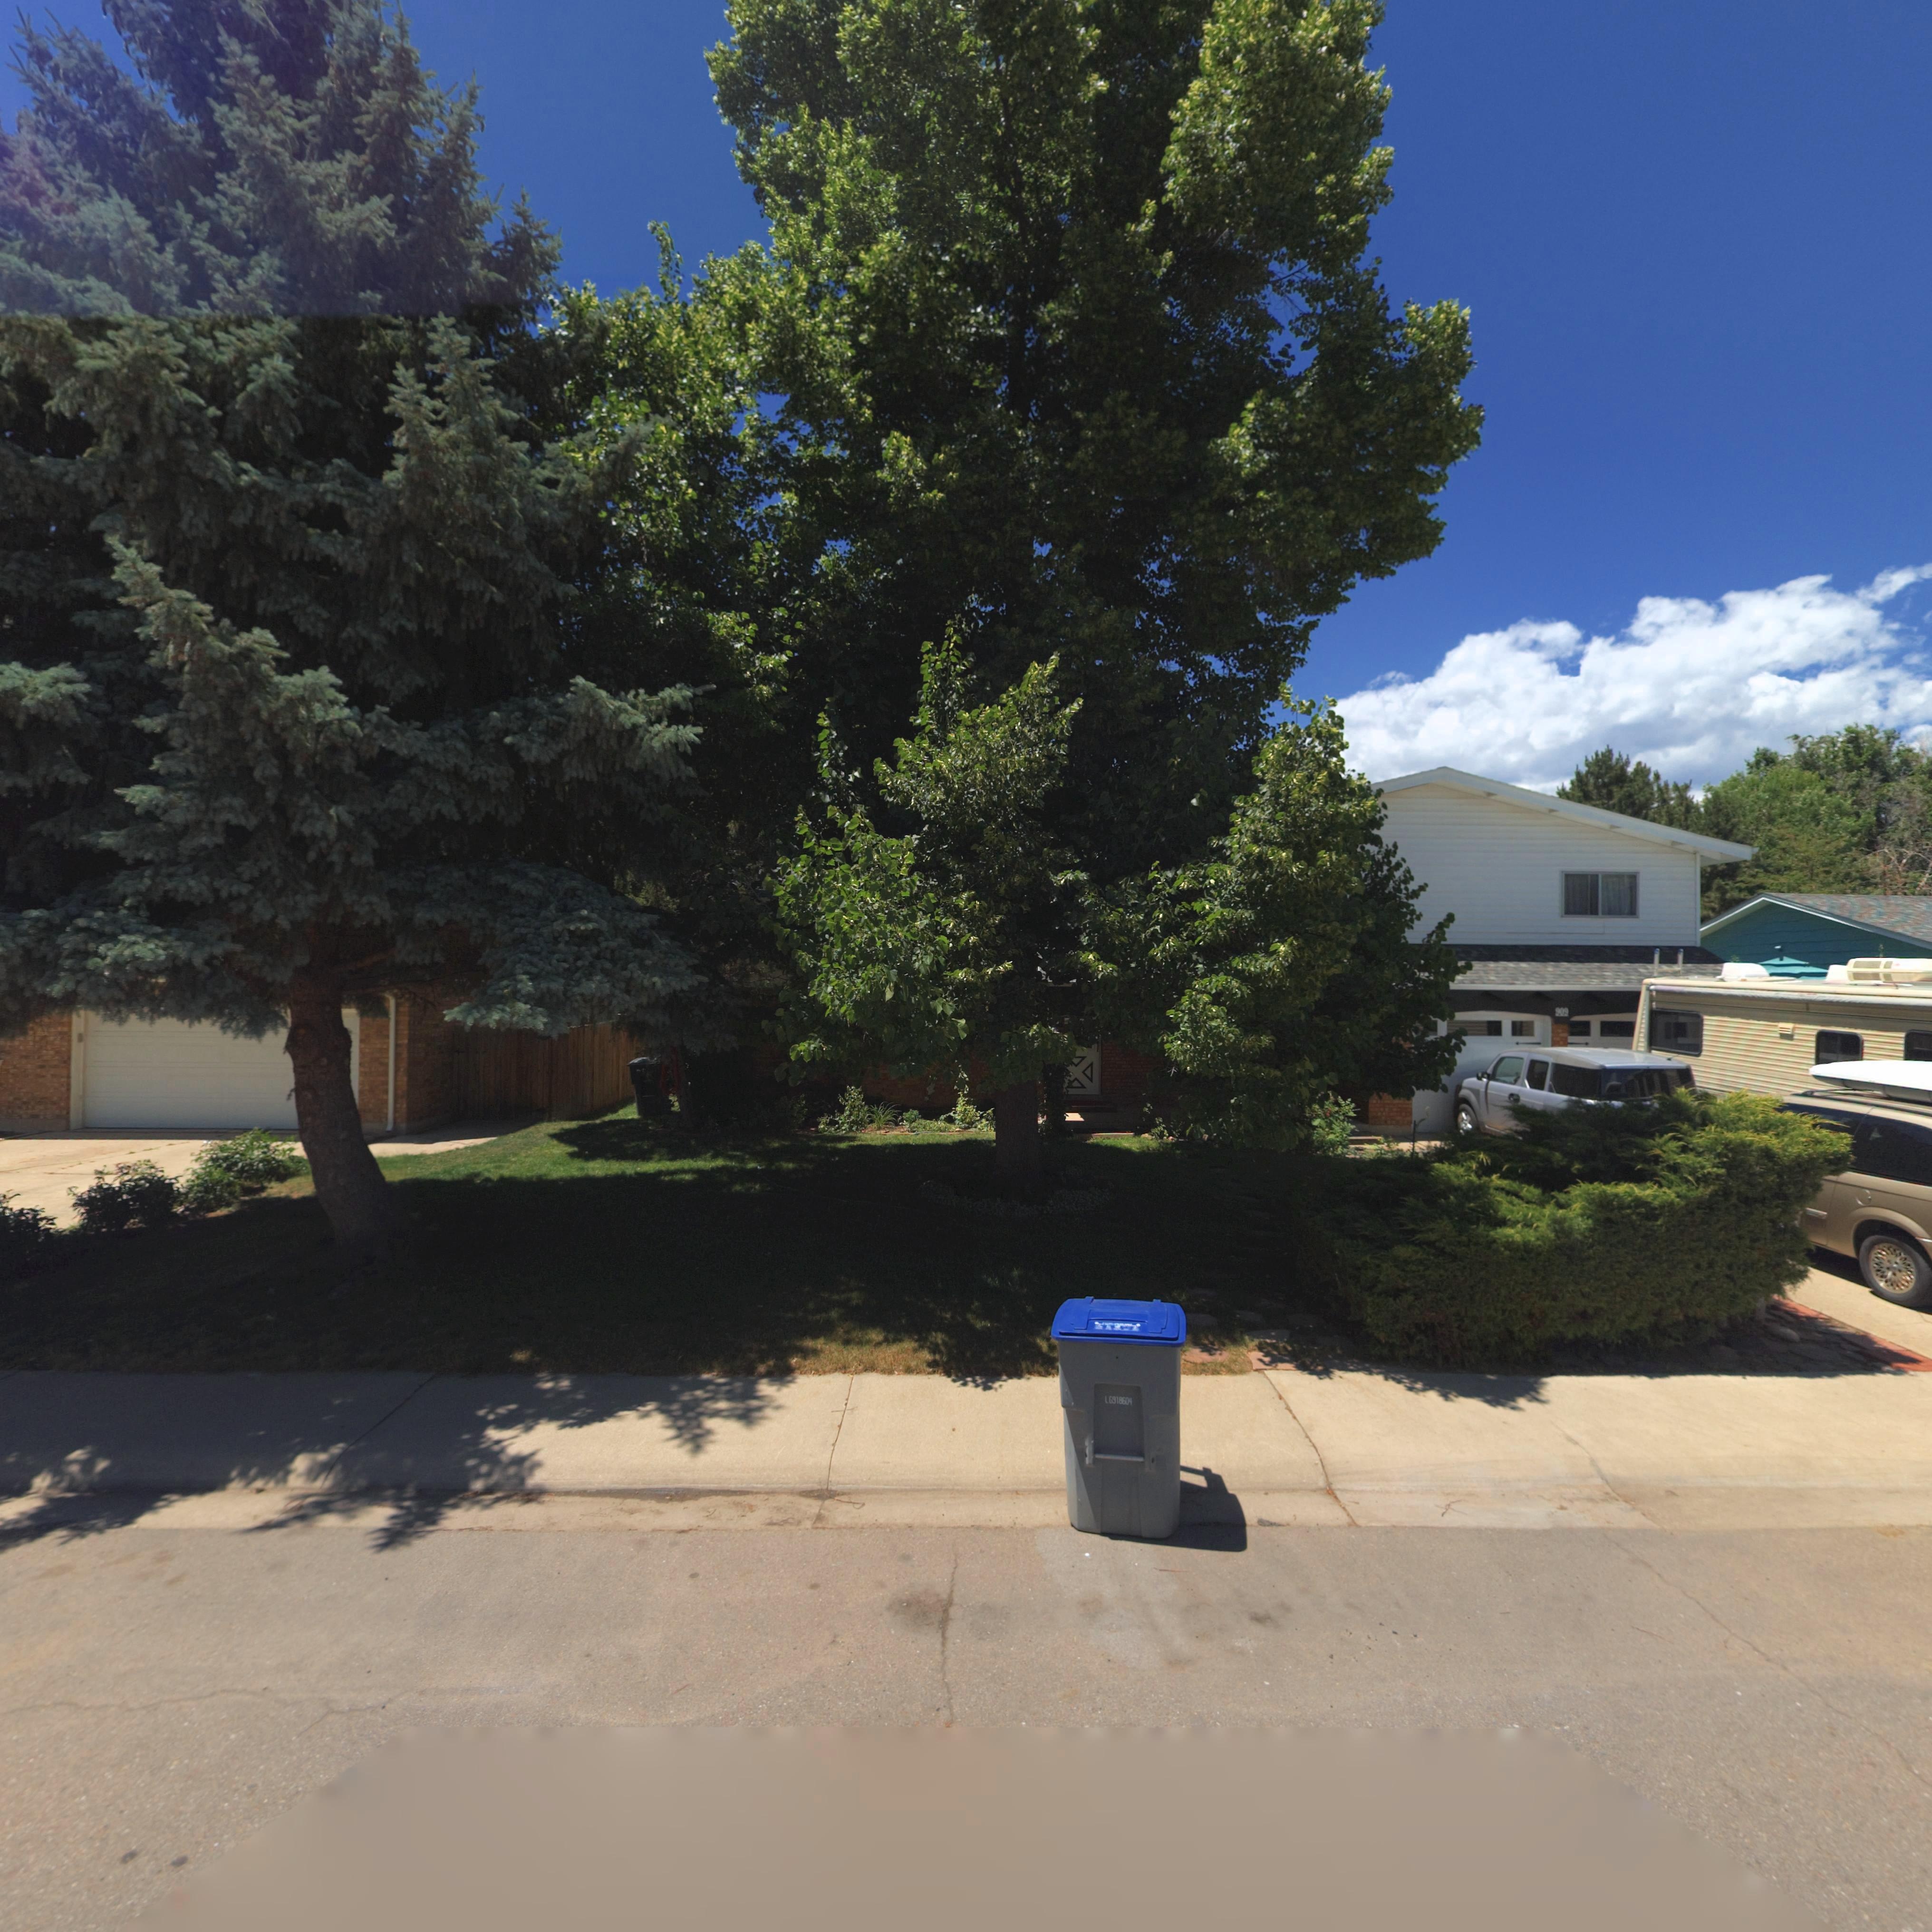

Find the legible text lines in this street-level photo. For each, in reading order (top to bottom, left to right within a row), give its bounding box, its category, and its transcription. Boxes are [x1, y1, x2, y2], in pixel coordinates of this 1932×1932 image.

[1554, 1006, 1569, 1017] StreetNumber: 909